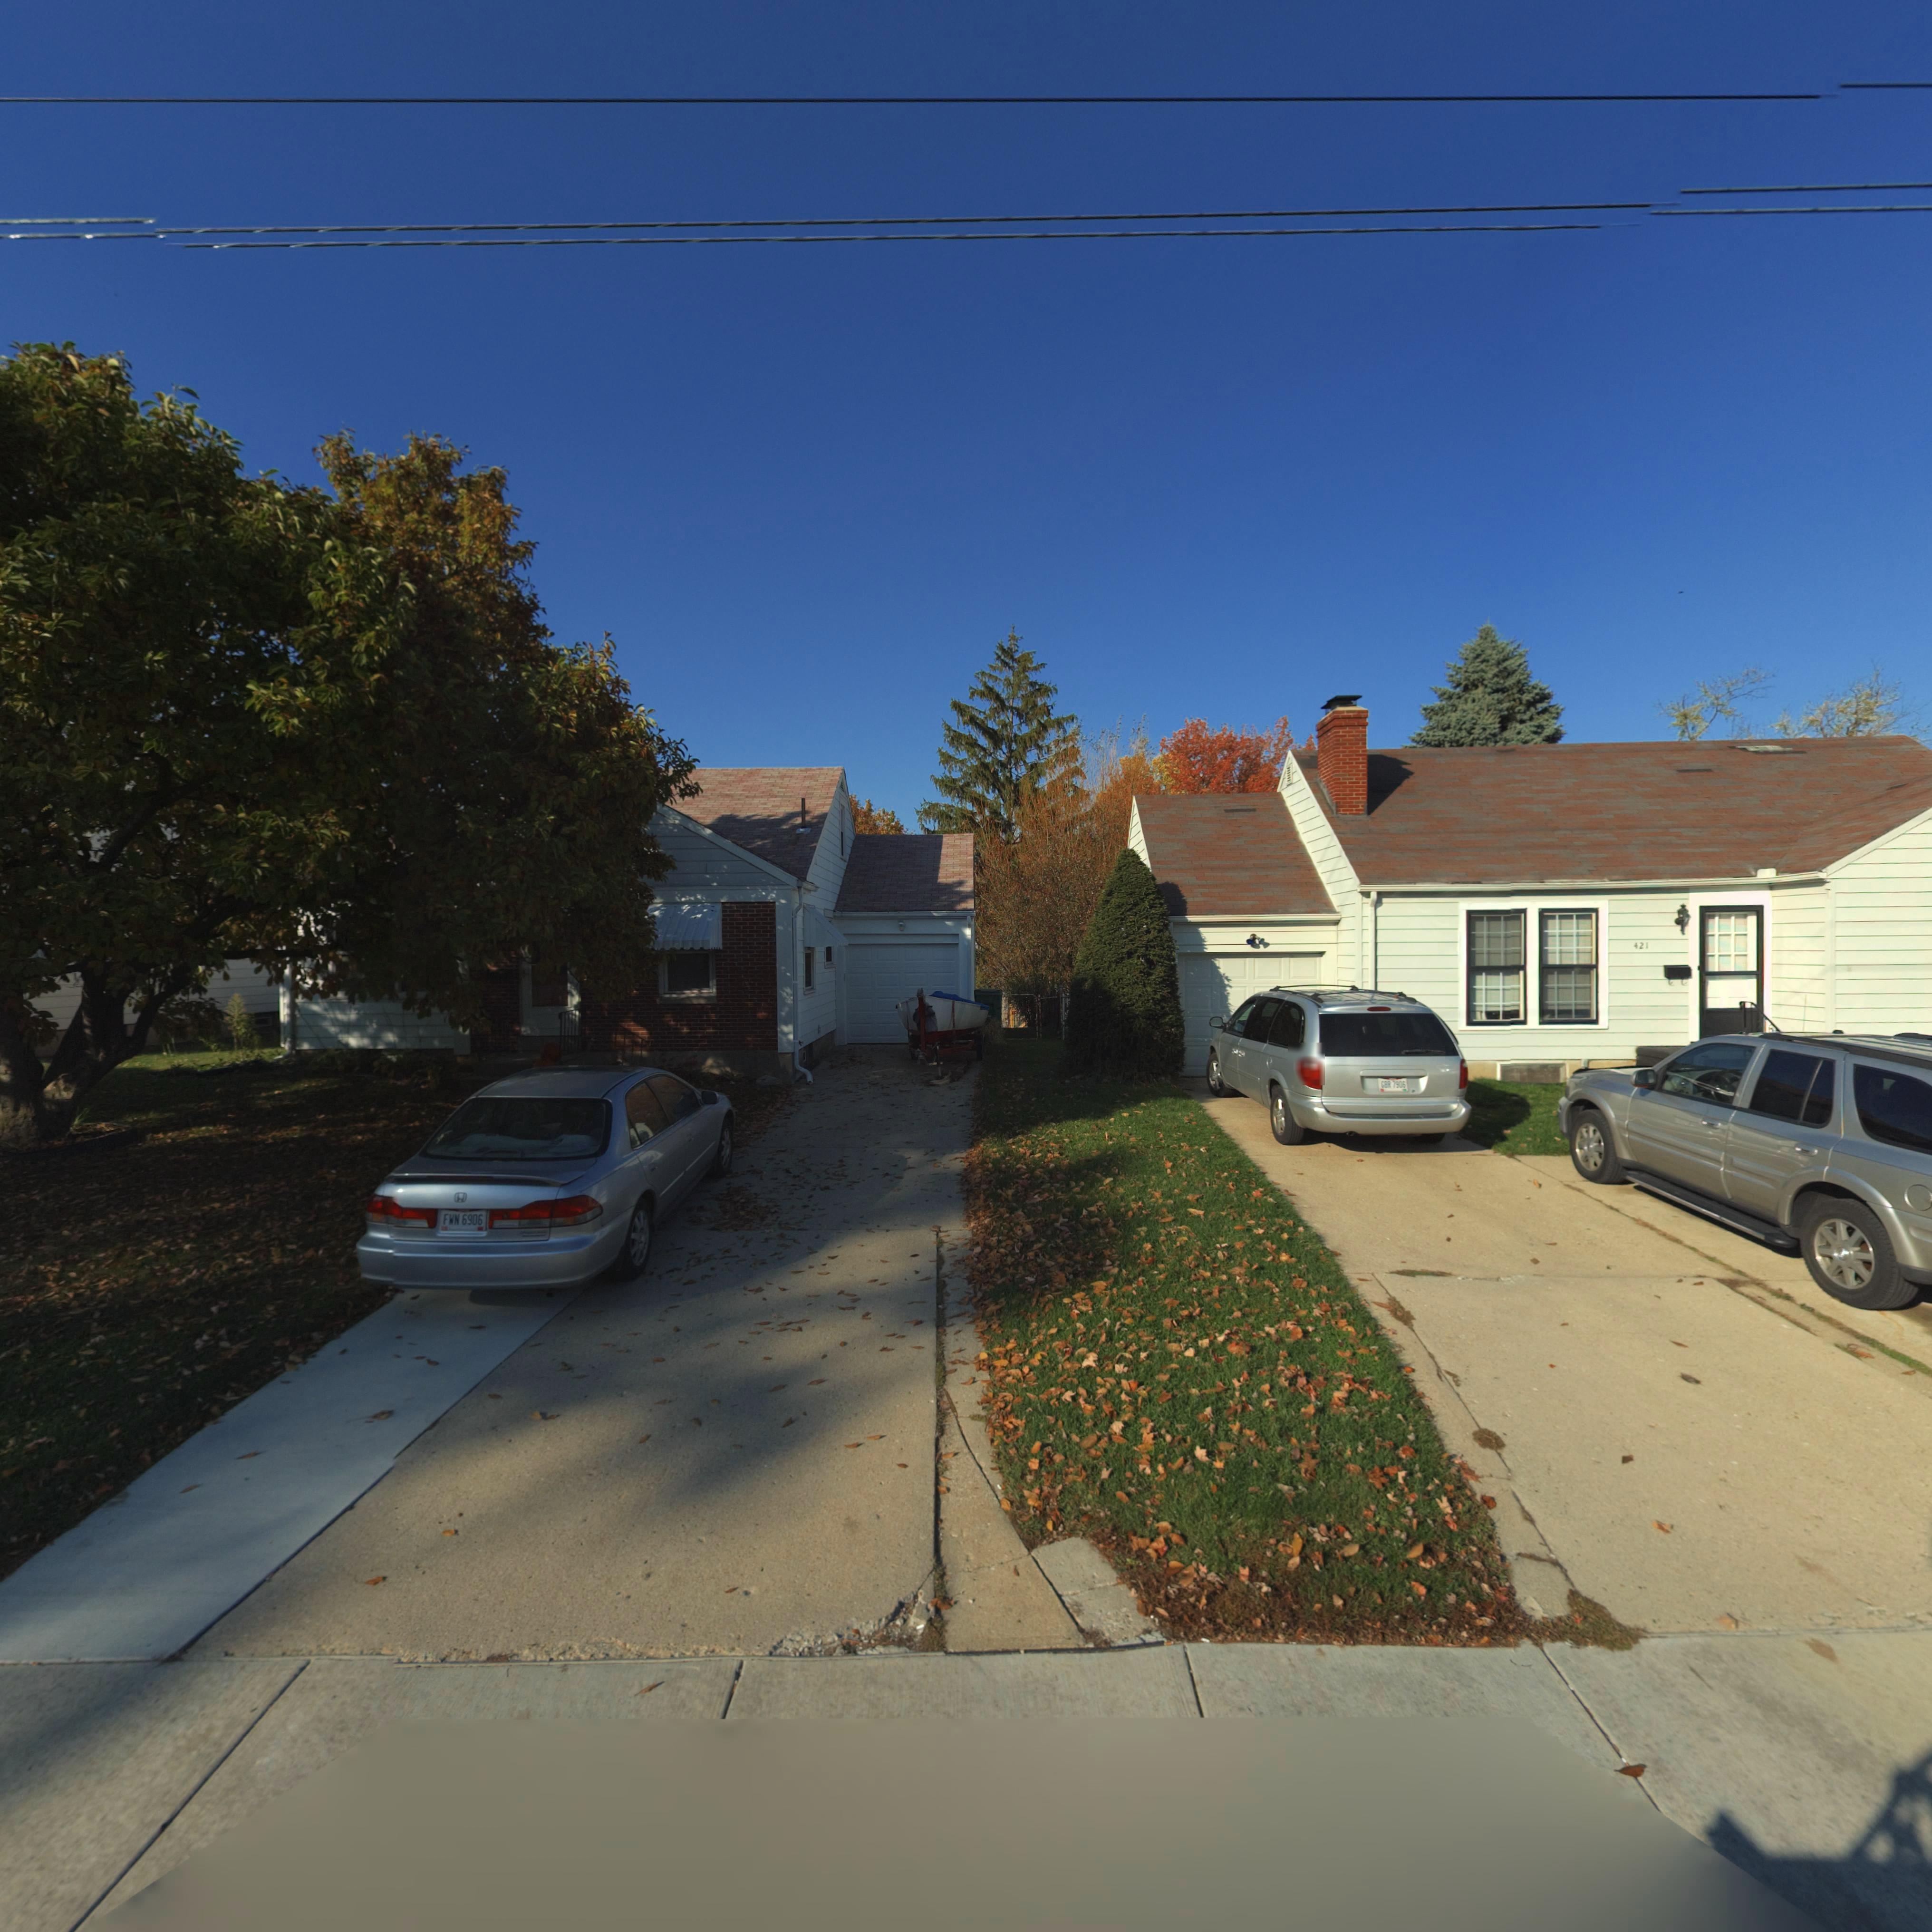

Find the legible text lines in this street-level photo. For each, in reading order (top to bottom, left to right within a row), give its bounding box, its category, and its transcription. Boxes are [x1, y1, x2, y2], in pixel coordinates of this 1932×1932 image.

[1633, 942, 1649, 949] StreetNumber: 421